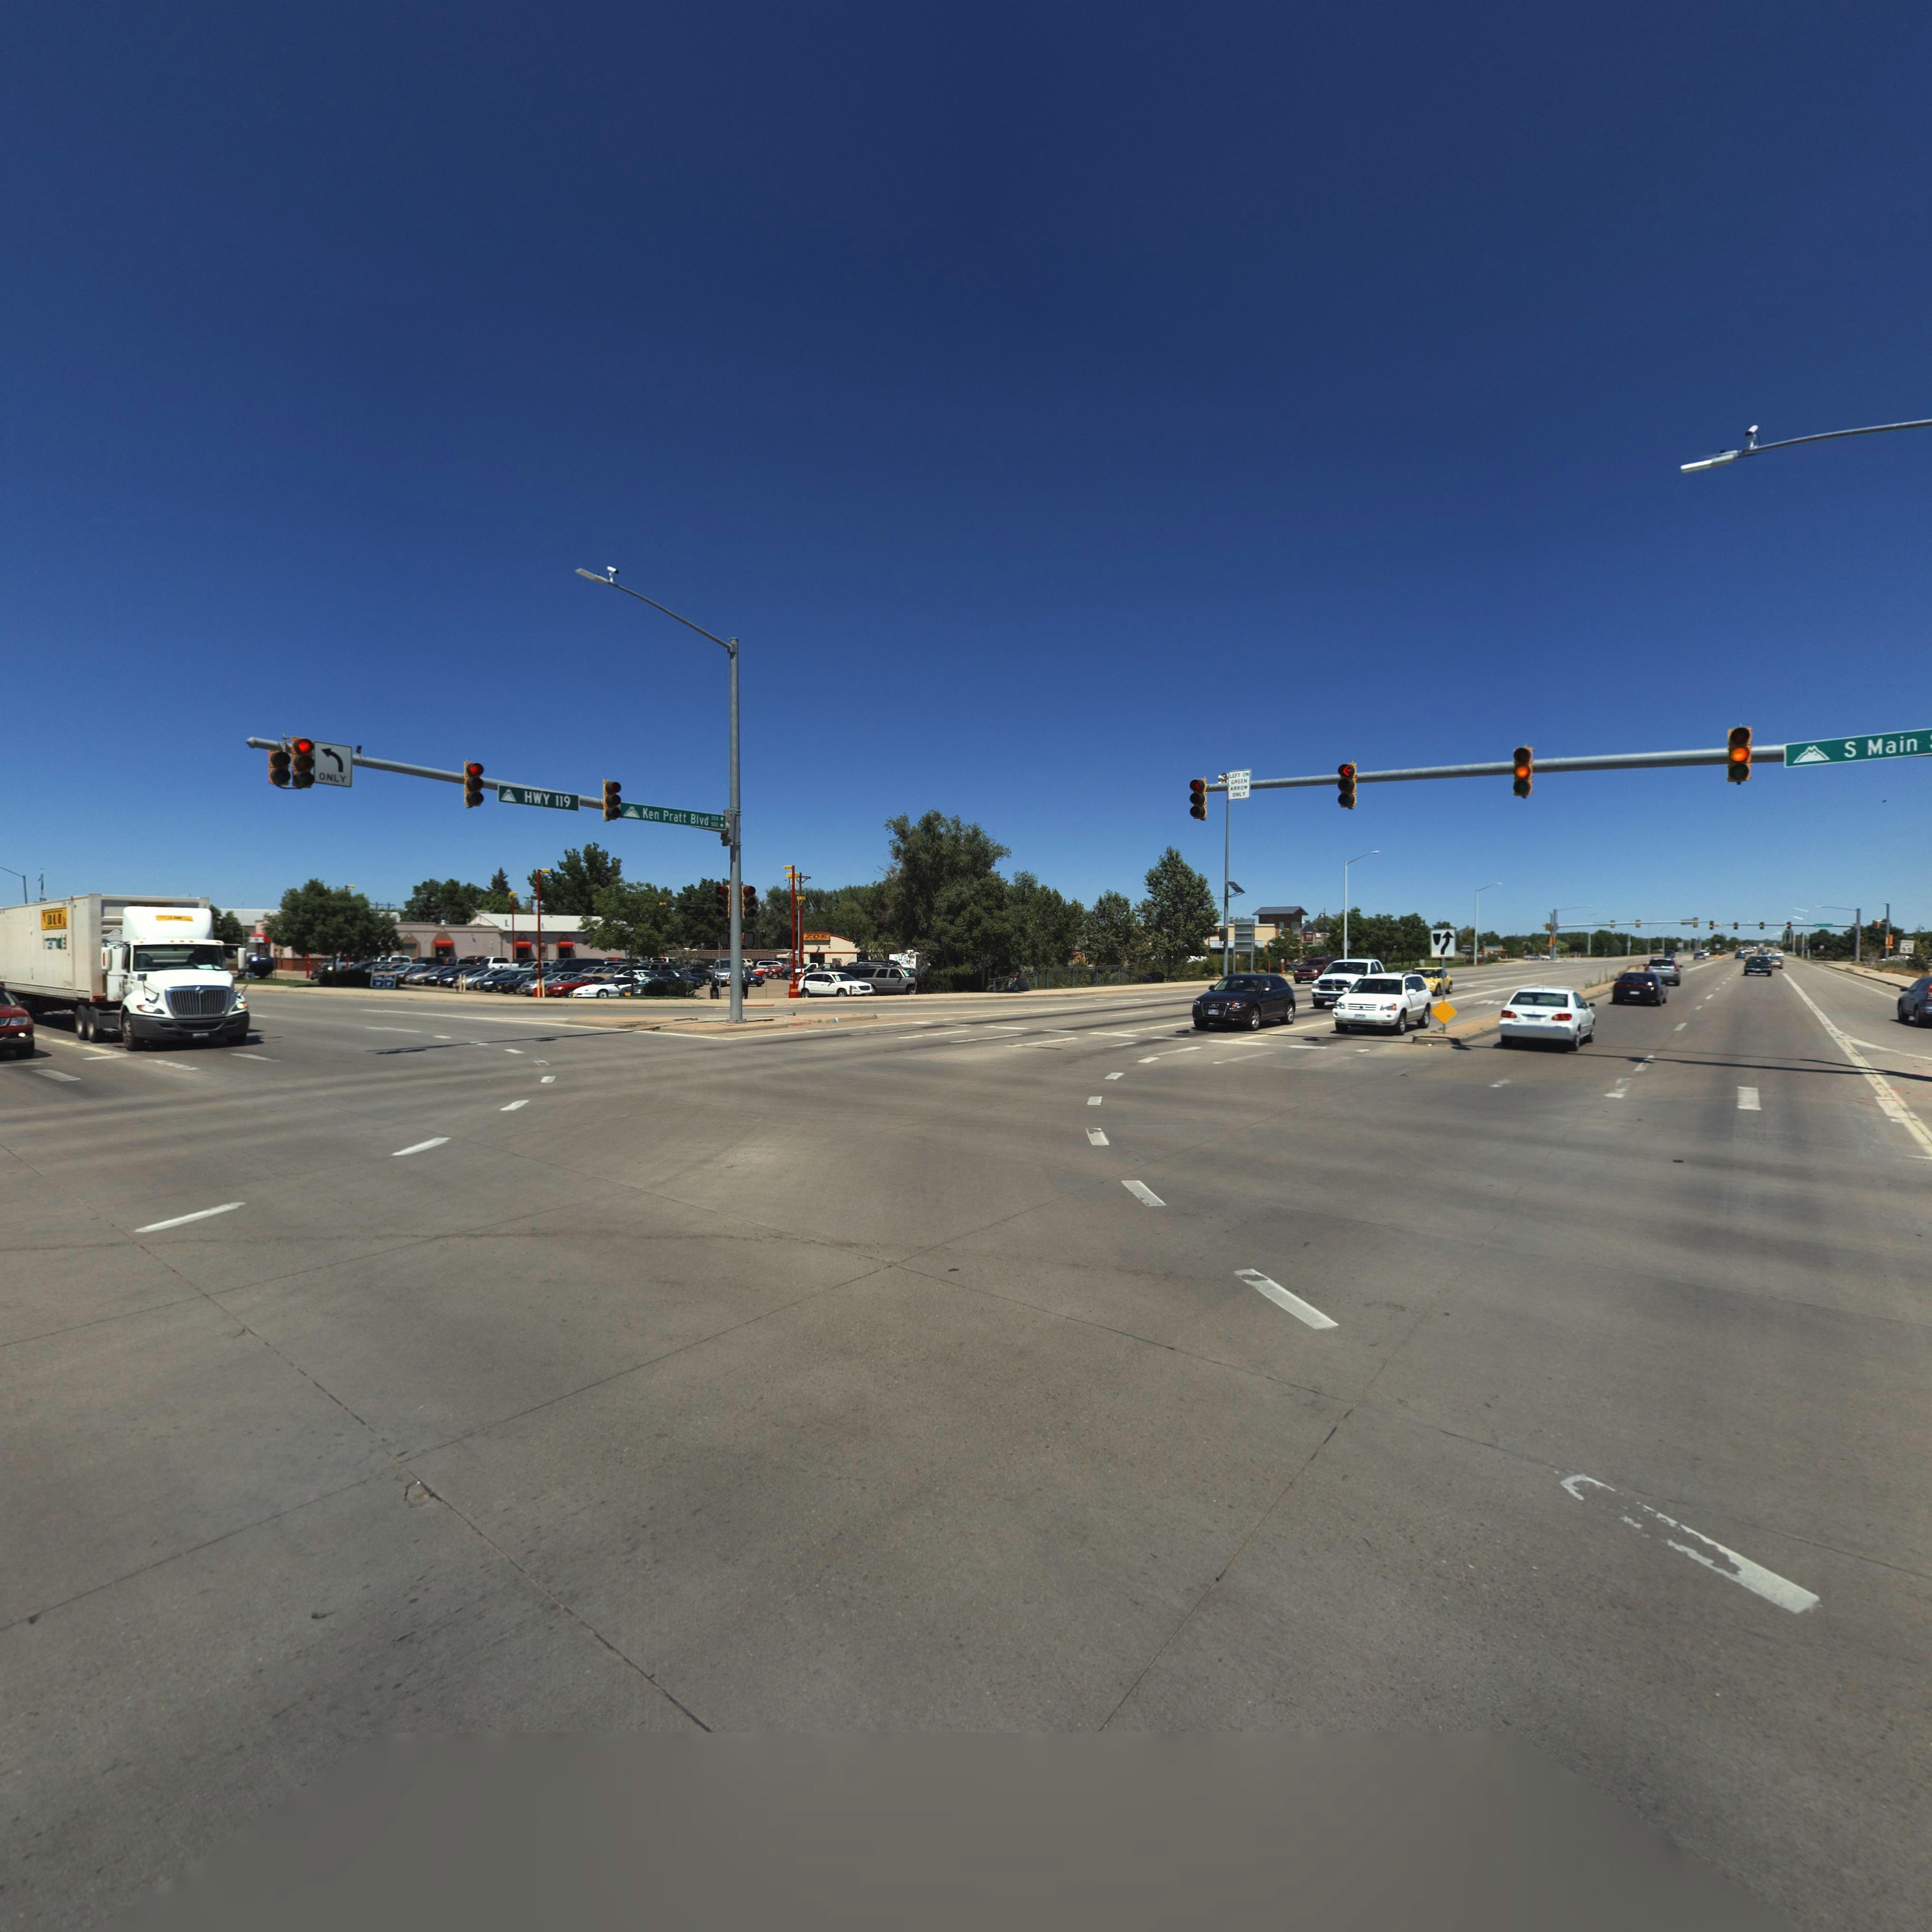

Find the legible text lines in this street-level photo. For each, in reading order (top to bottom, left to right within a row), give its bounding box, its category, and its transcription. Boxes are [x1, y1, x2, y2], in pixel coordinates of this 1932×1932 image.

[1841, 734, 1919, 759] StreetName: S Main
[524, 790, 571, 808] StreetName: HWY 119
[642, 807, 709, 826] StreetName: Ken Pratt Blvd
[711, 815, 719, 821] StreetNumberRange: 200
[711, 821, 724, 828] StreetNumberRange: 500 ->
[805, 934, 828, 938] BusinessName: ZOE